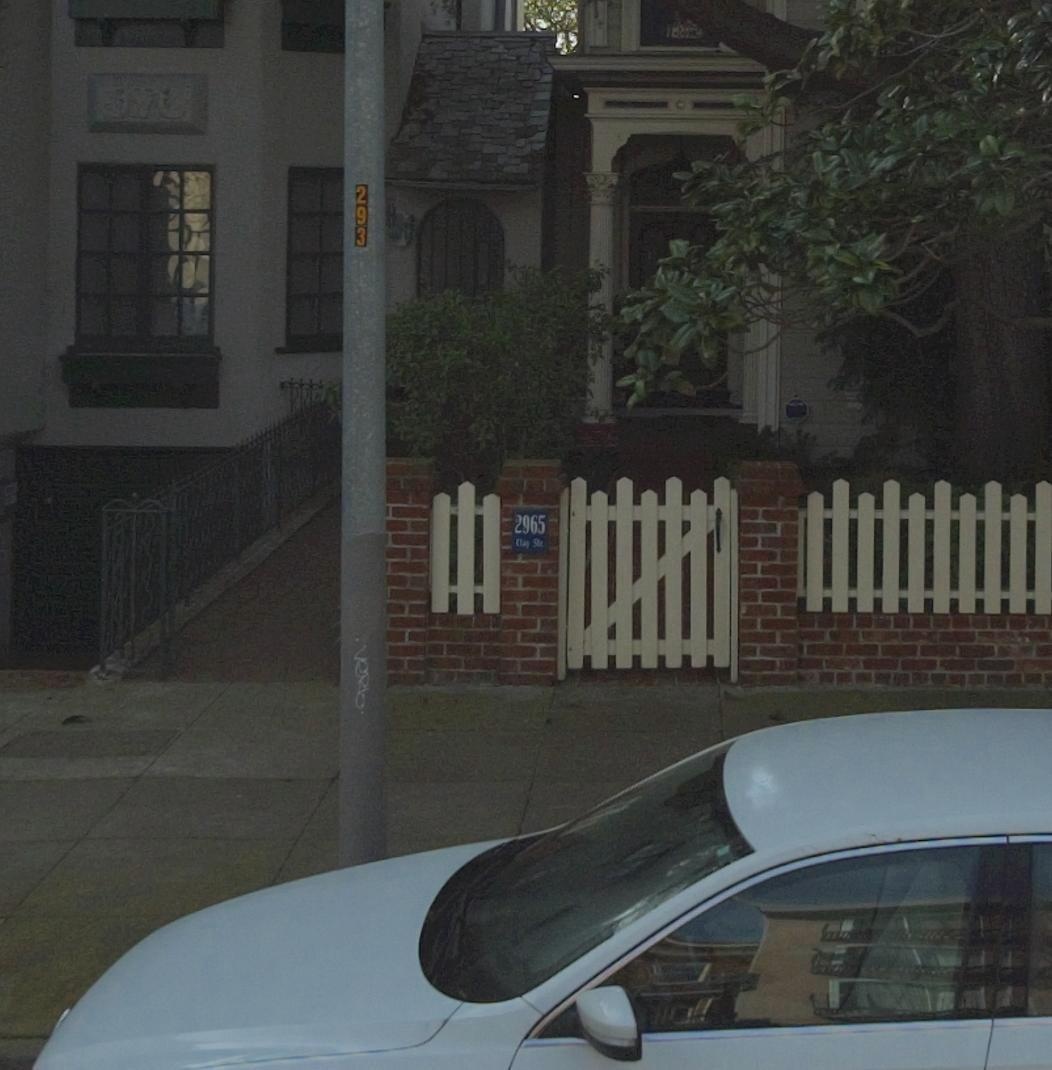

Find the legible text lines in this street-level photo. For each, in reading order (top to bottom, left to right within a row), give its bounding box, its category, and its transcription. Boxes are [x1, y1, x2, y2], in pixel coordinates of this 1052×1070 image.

[355, 184, 368, 248] None: 293
[512, 512, 549, 537] StreetNumber: 2965